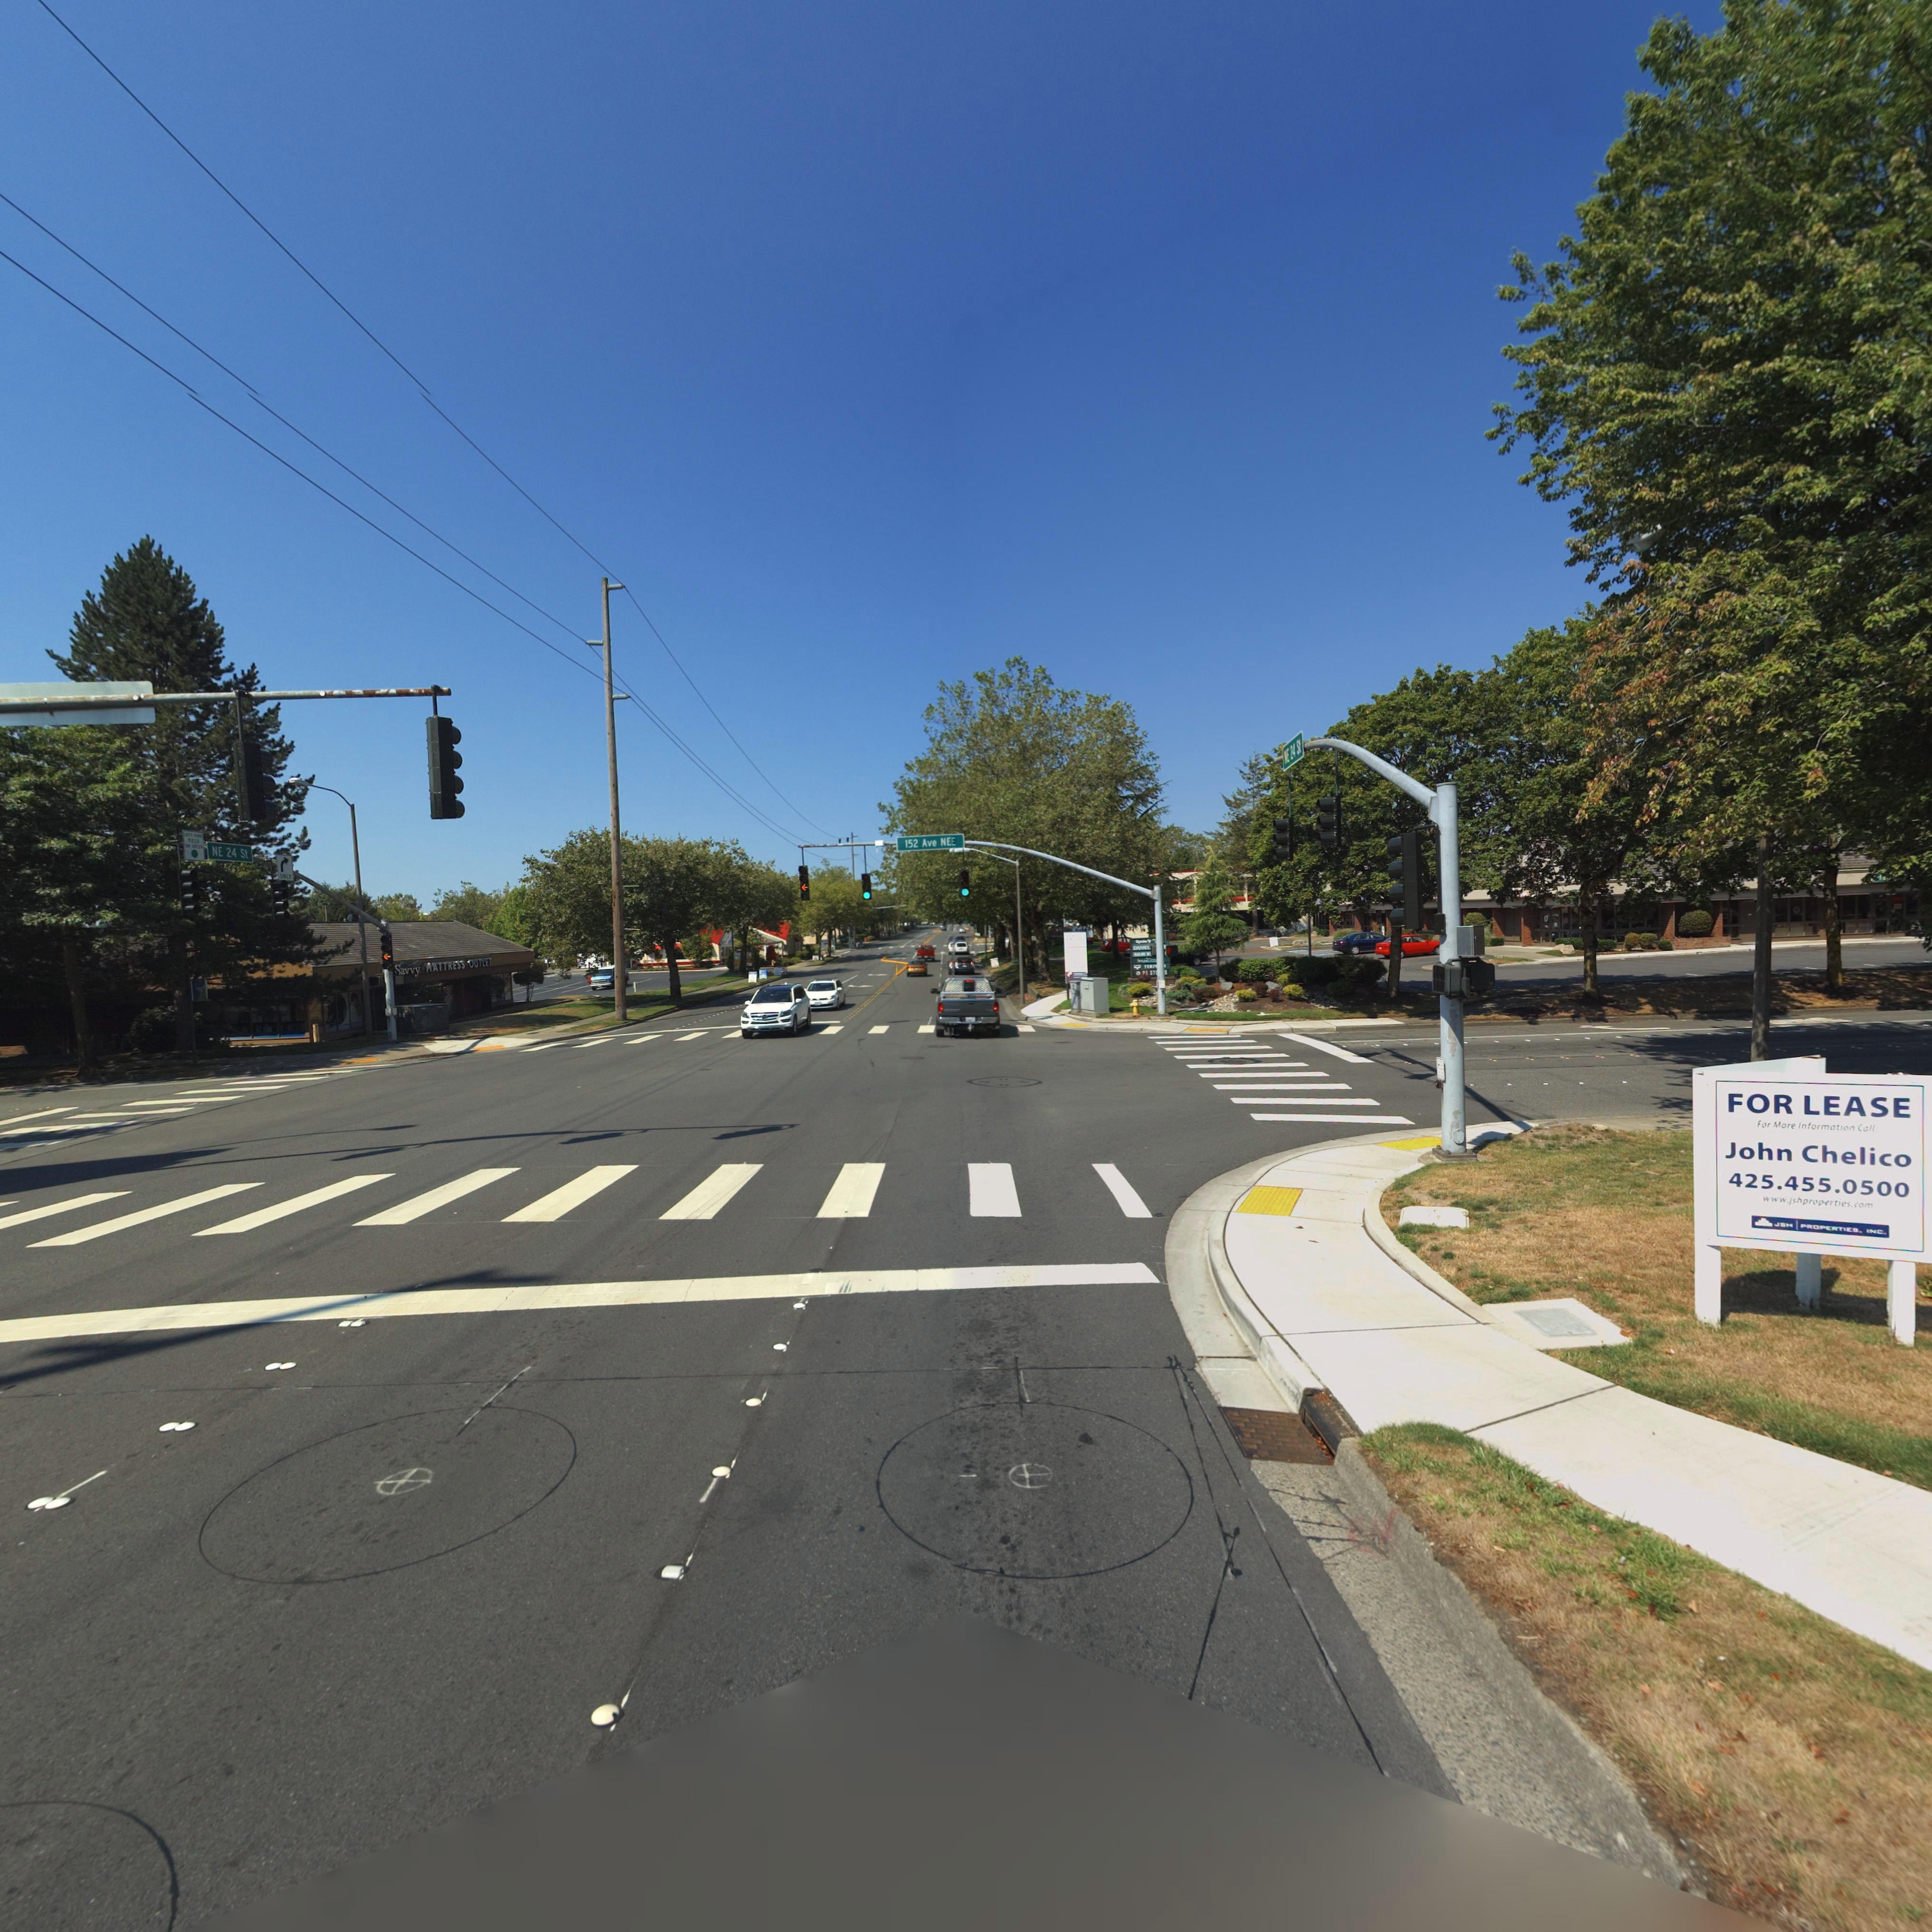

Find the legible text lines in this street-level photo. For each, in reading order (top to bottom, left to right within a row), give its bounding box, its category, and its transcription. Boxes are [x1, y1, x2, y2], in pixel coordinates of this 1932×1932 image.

[210, 845, 249, 860] StreetName: NE 24 St
[904, 836, 952, 848] StreetName: 152 Ave 
[393, 957, 493, 978] BusinessName: Savvy MATTRESS OUTLET
[1728, 1093, 1910, 1118] BusinessName: FOR LEASE